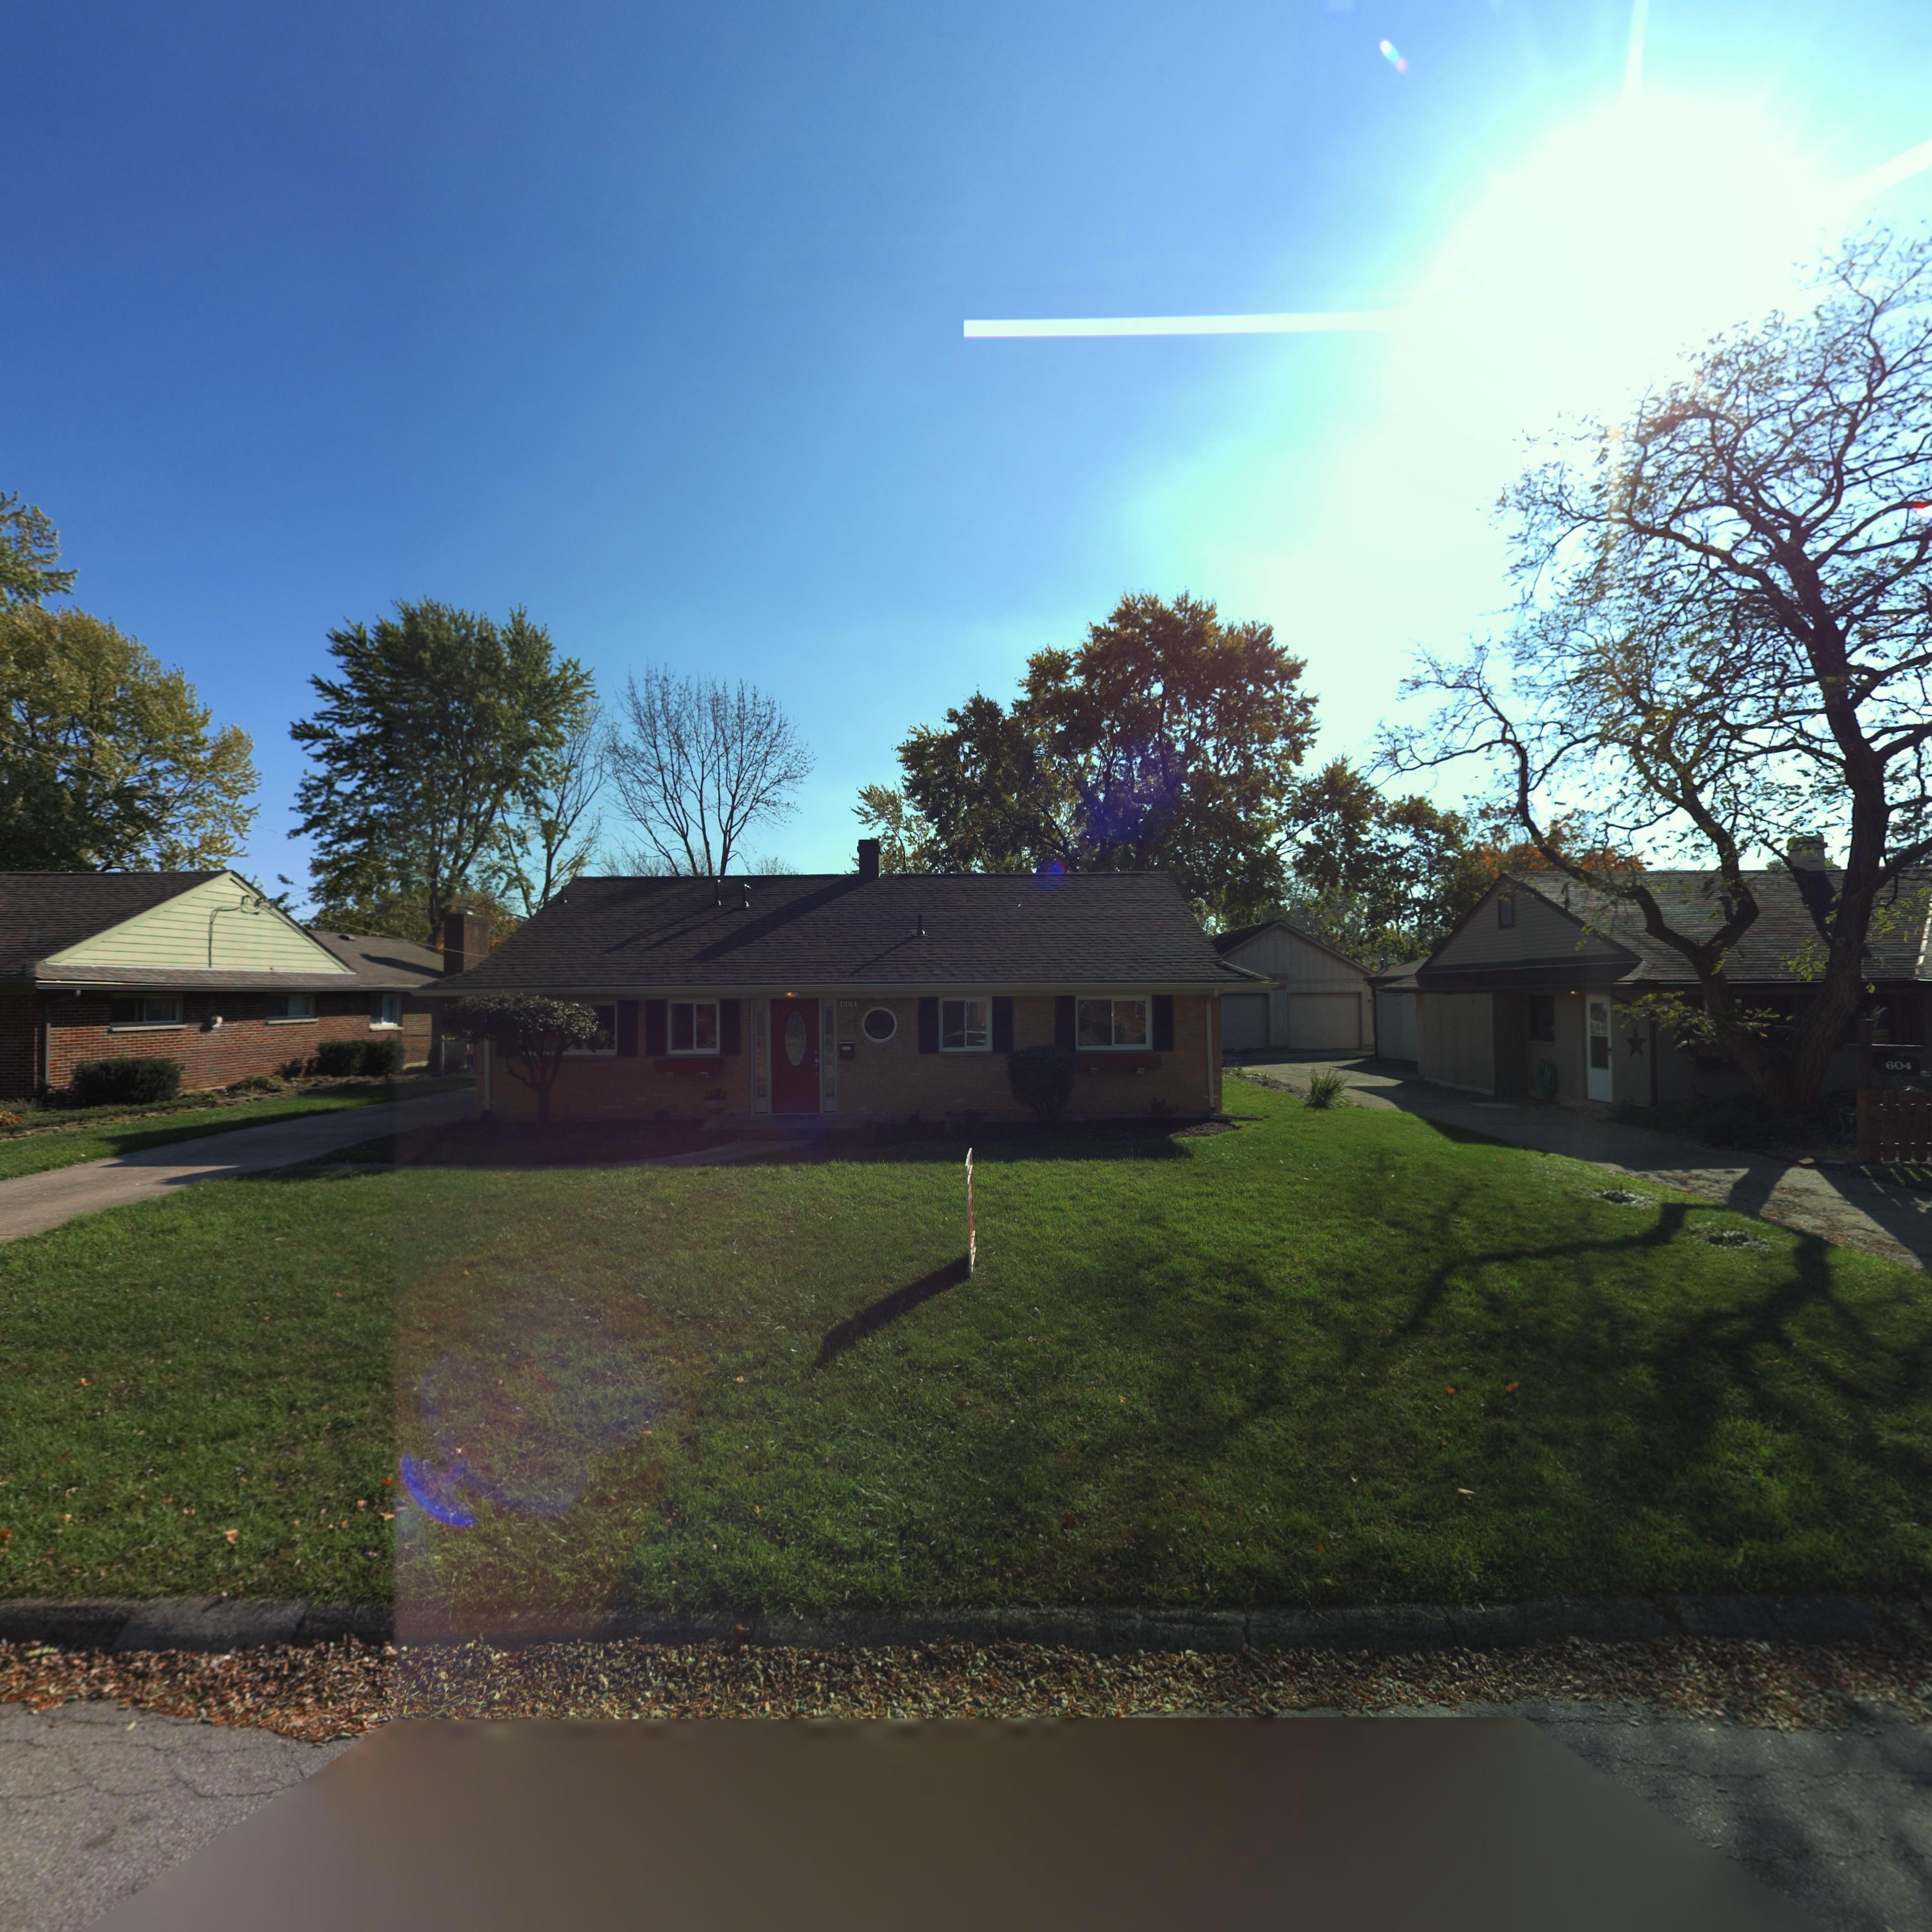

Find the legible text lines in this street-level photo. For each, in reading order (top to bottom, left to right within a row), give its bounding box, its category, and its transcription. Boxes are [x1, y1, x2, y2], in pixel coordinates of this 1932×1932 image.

[841, 1000, 856, 1007] StreetNumber: 608
[1885, 1061, 1912, 1070] StreetNumber: 604